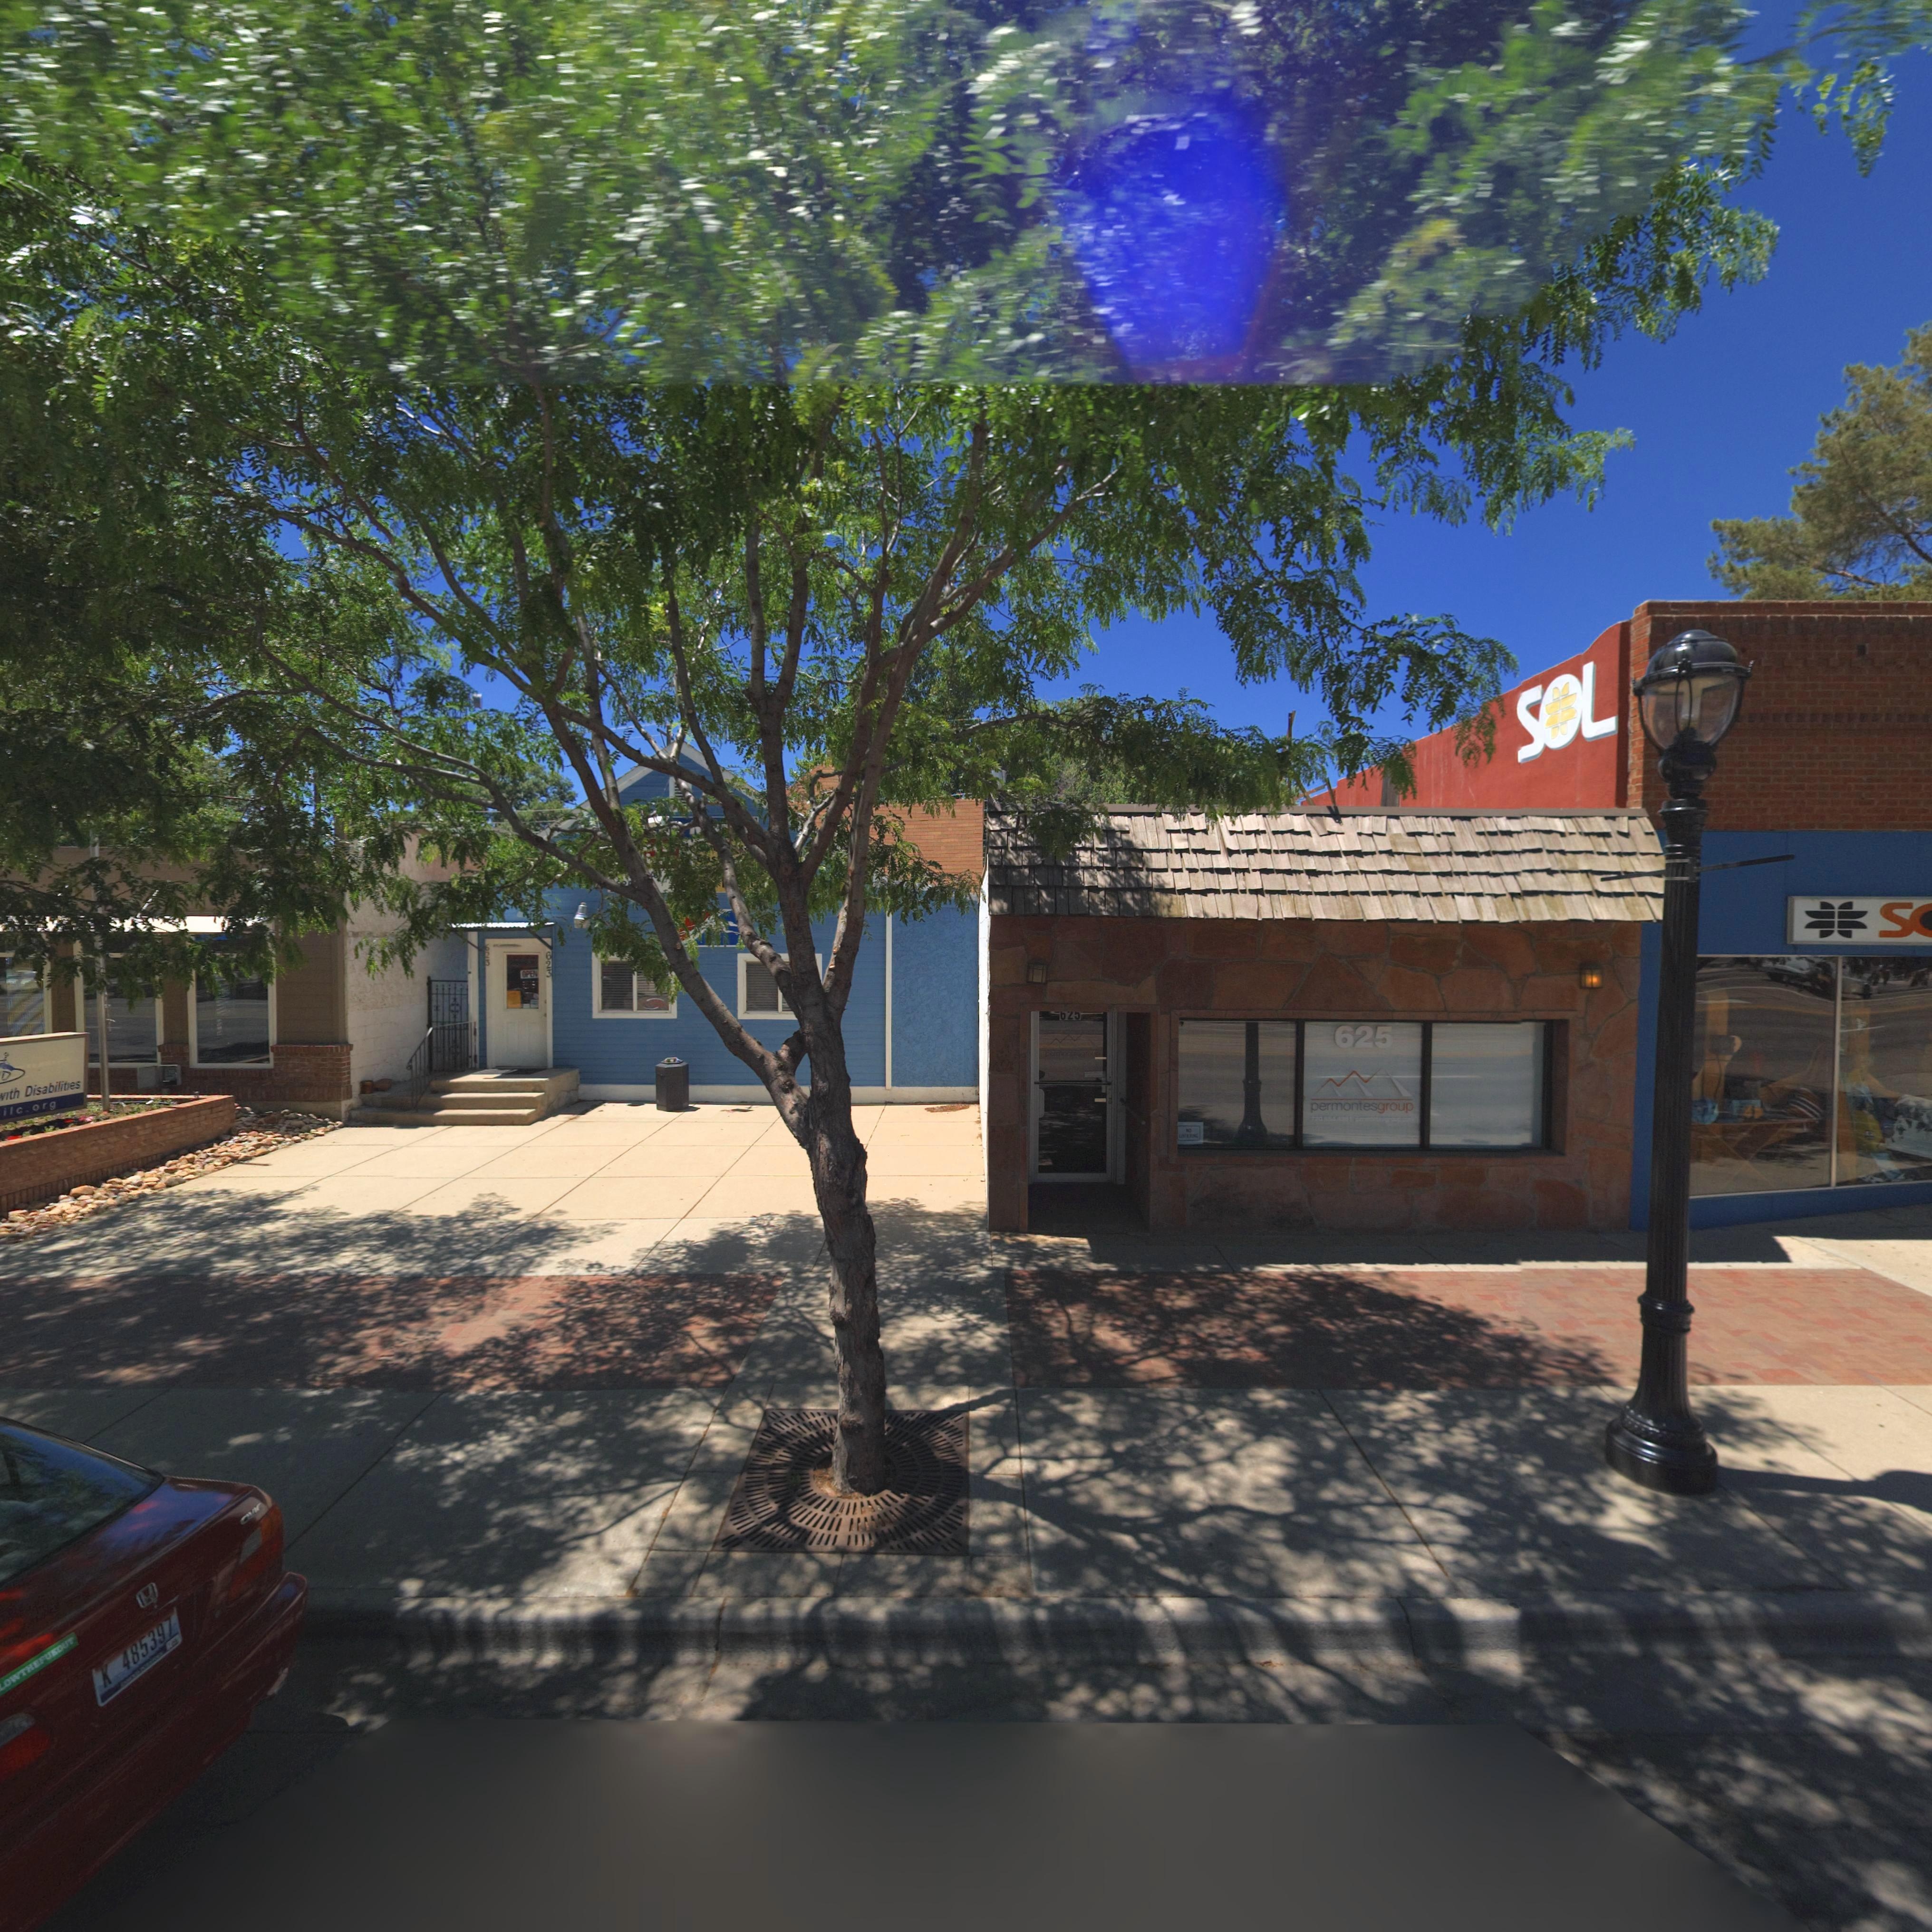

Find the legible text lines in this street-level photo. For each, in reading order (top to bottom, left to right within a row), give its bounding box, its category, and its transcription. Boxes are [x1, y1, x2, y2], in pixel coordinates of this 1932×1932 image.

[1516, 660, 1618, 764] BusinessName: SOL
[1878, 901, 1914, 938] BusinessName: S
[484, 943, 490, 966] BusinessName: 623
[545, 951, 552, 977] StreetNumber: 623
[1060, 1011, 1080, 1020] StreetNumber: 625
[1333, 1025, 1393, 1048] StreetNumber: 625
[1045, 1050, 1101, 1058] BusinessName: permontesgr****
[1311, 1100, 1413, 1114] BusinessName: permontesgroup